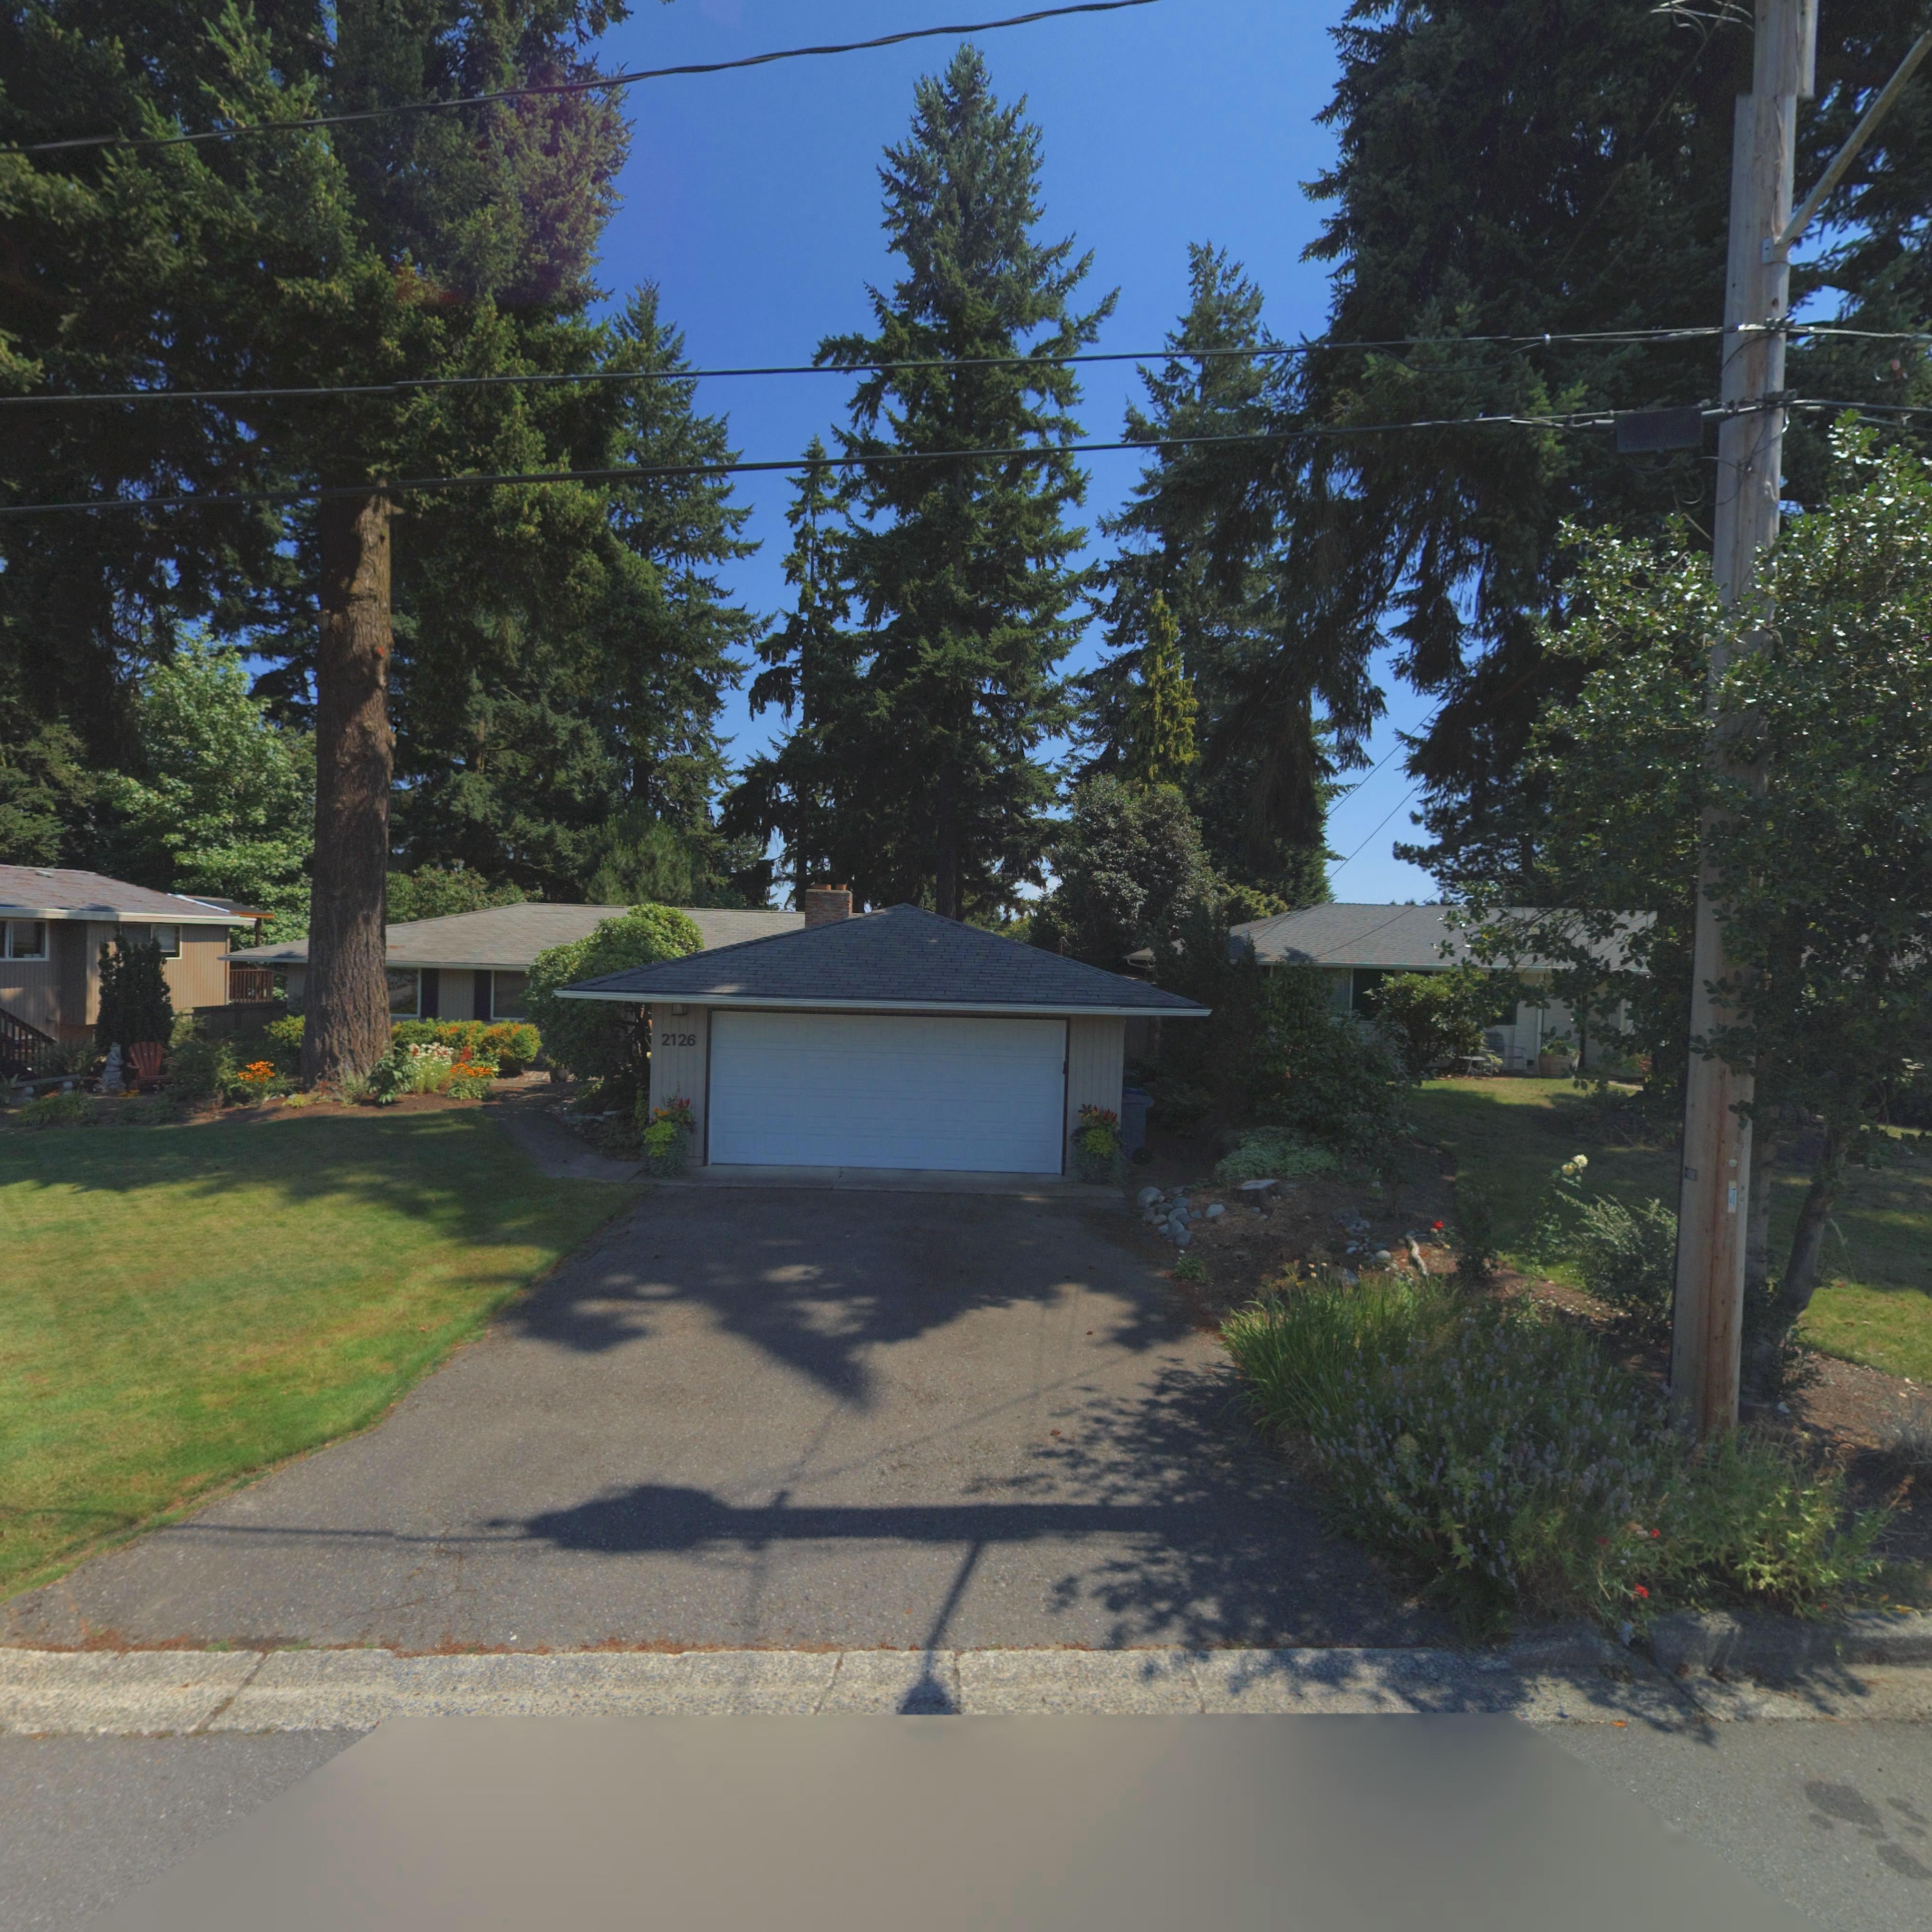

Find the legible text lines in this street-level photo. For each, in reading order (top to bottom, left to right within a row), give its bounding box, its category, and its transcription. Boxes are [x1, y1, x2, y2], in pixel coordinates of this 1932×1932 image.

[662, 1034, 696, 1045] StreetNumber: 2126